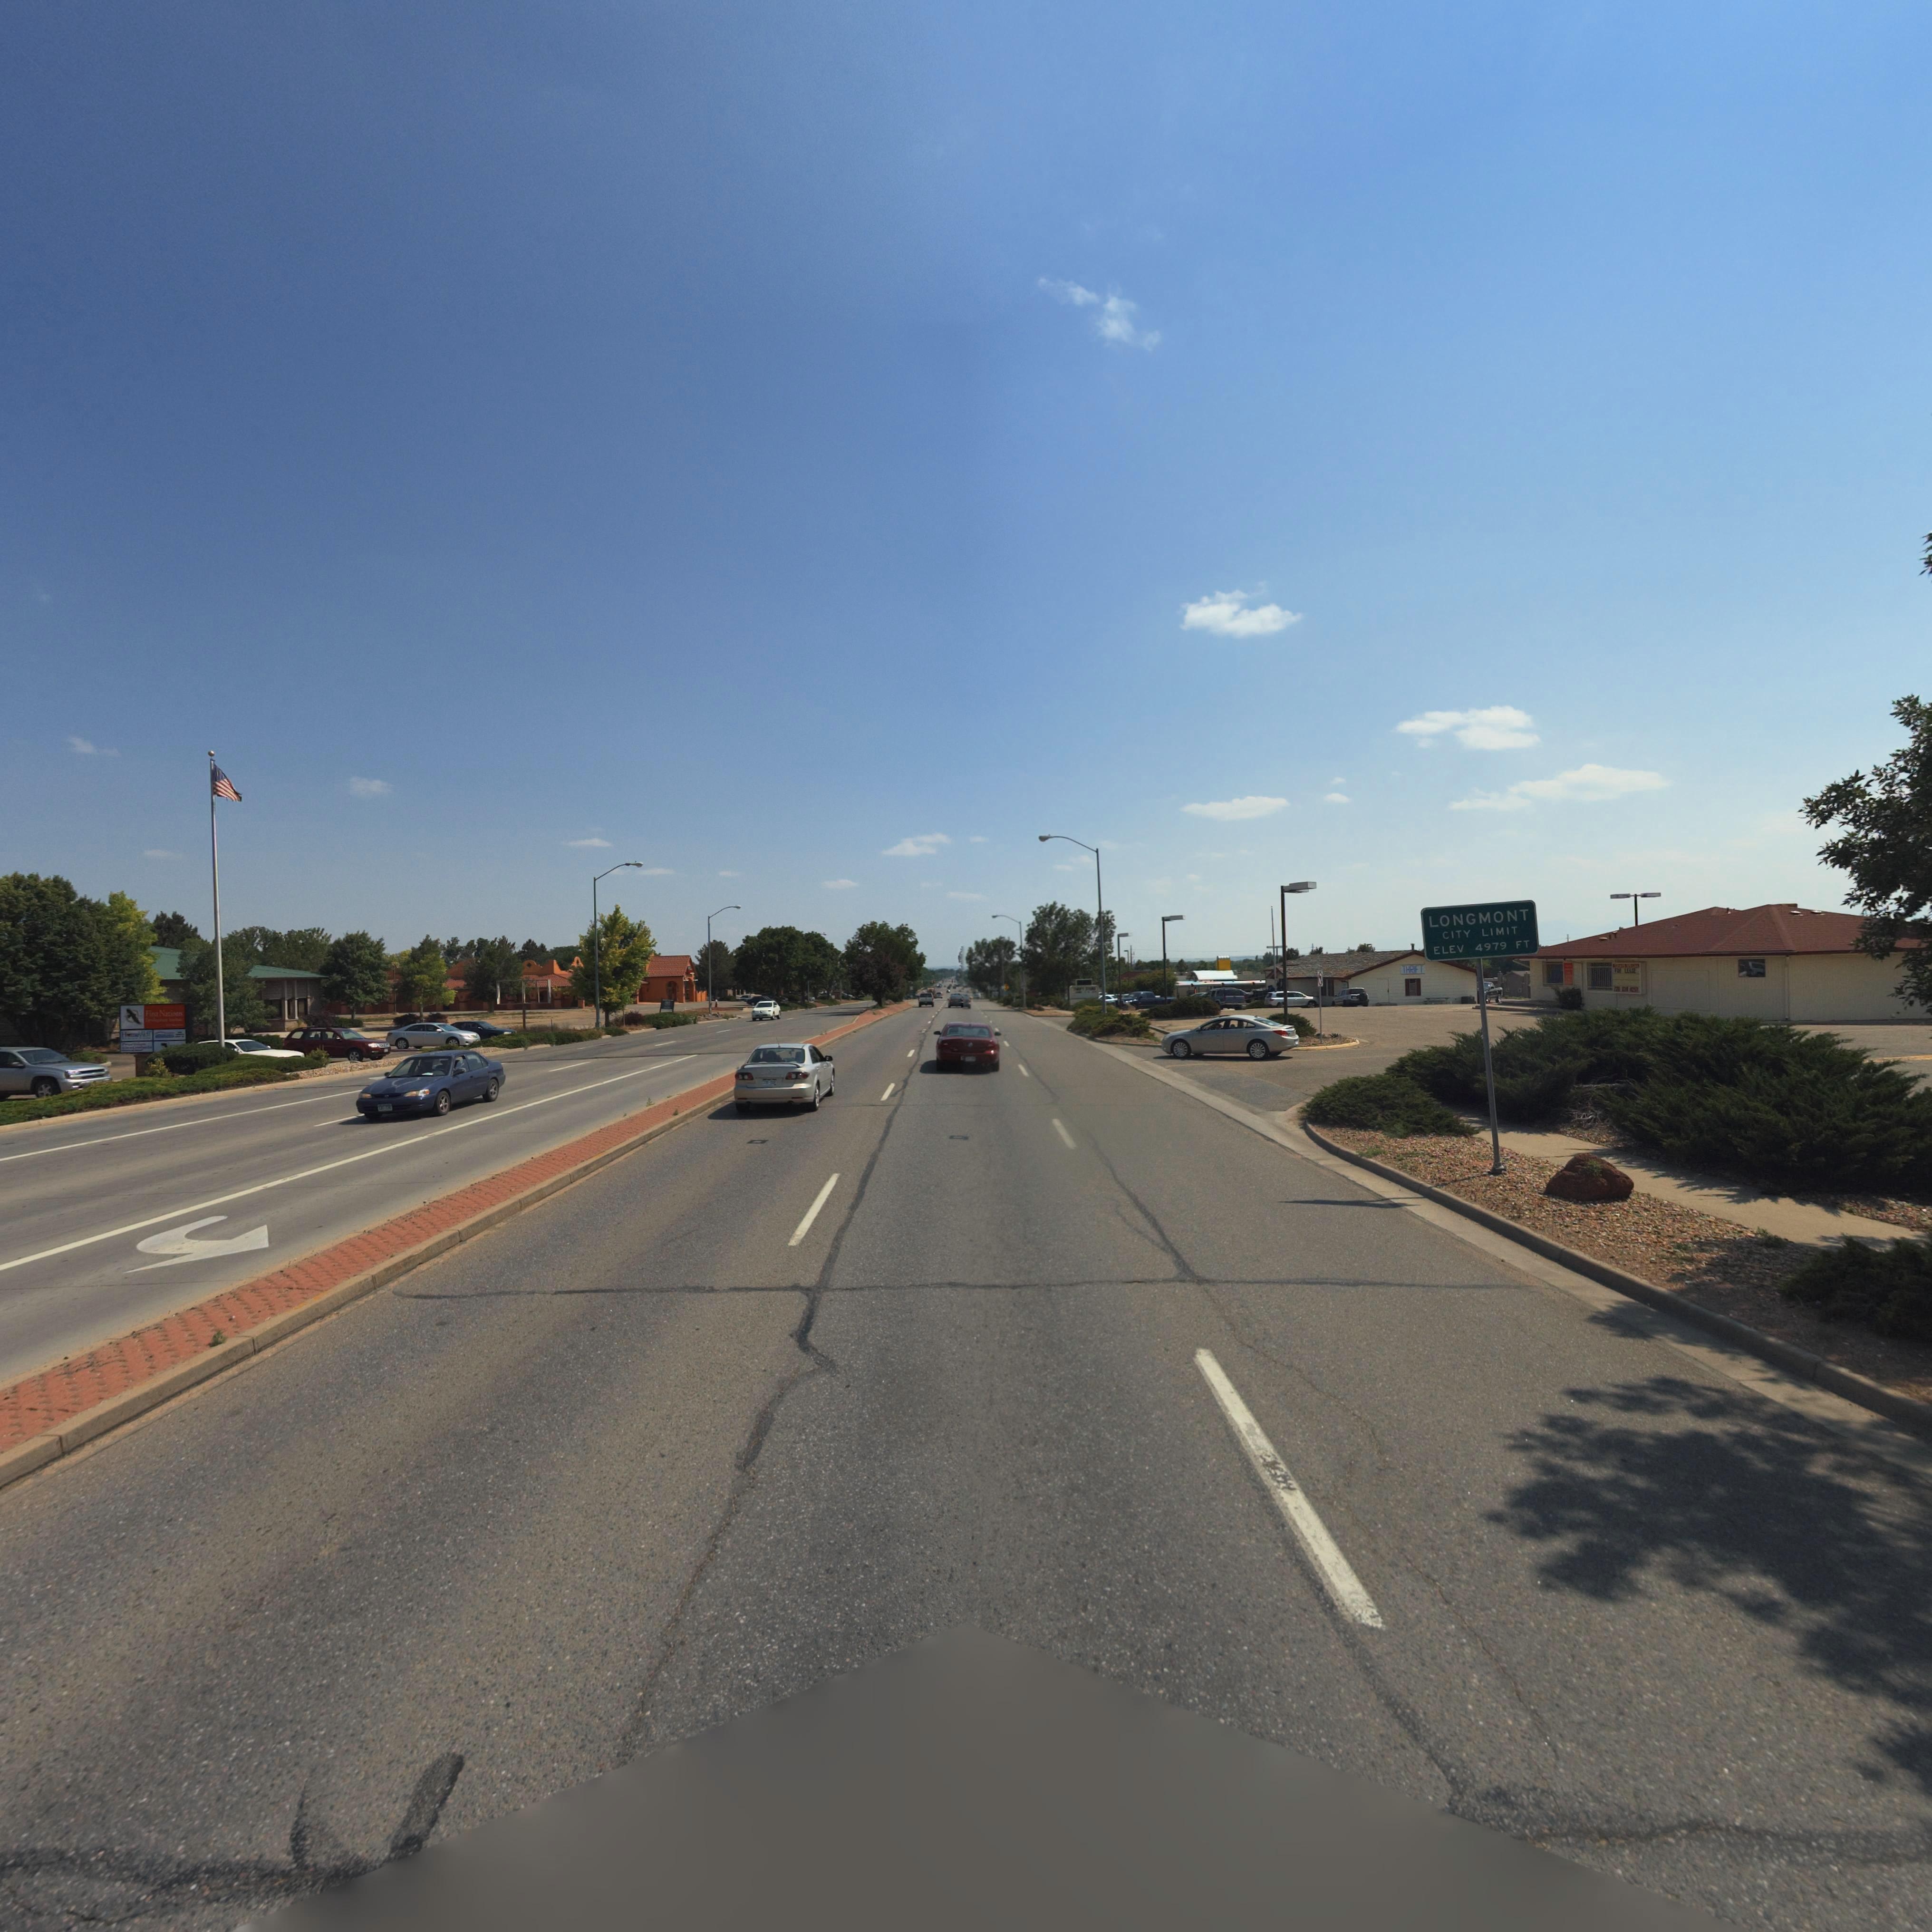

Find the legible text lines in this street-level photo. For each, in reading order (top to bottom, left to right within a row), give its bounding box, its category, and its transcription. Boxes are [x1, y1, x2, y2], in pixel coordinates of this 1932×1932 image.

[145, 1009, 183, 1017] BusinessName: F*** Na*****